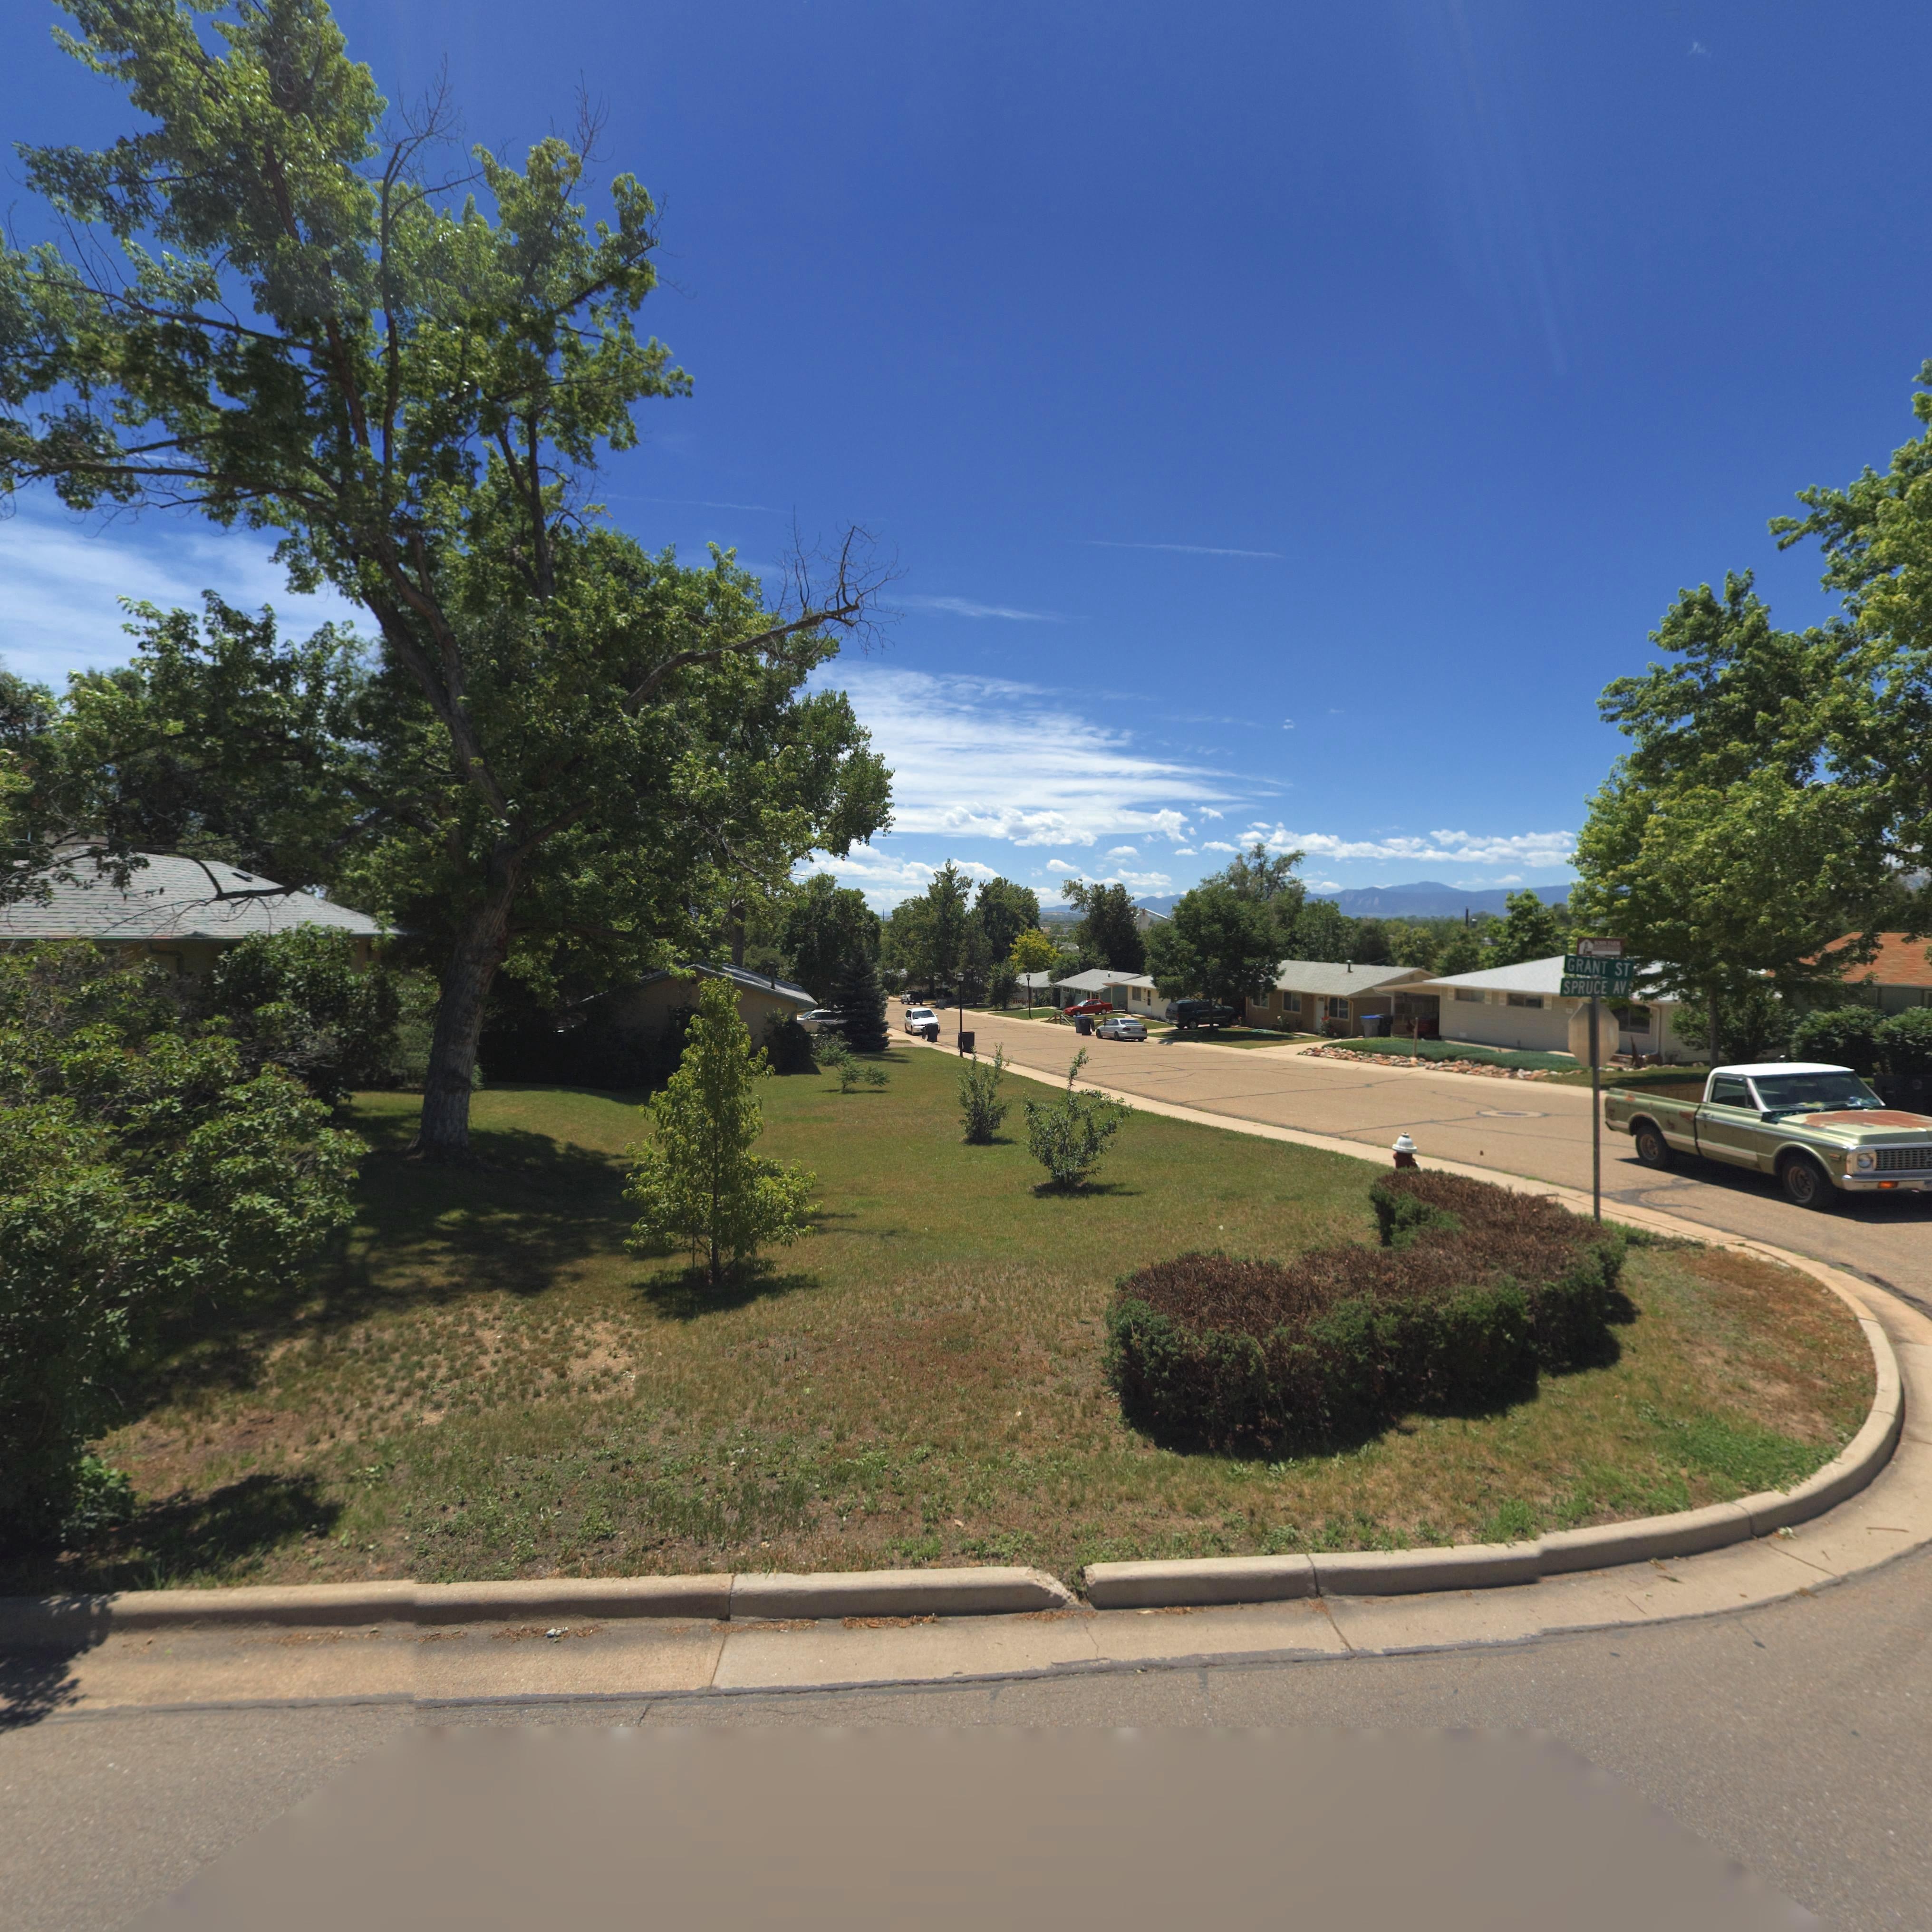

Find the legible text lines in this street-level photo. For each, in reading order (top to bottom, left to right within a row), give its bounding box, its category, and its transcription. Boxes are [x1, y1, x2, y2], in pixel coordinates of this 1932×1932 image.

[1567, 957, 1631, 977] StreetName: GRANT ST
[1563, 980, 1627, 995] StreetName: SPRUCE AV